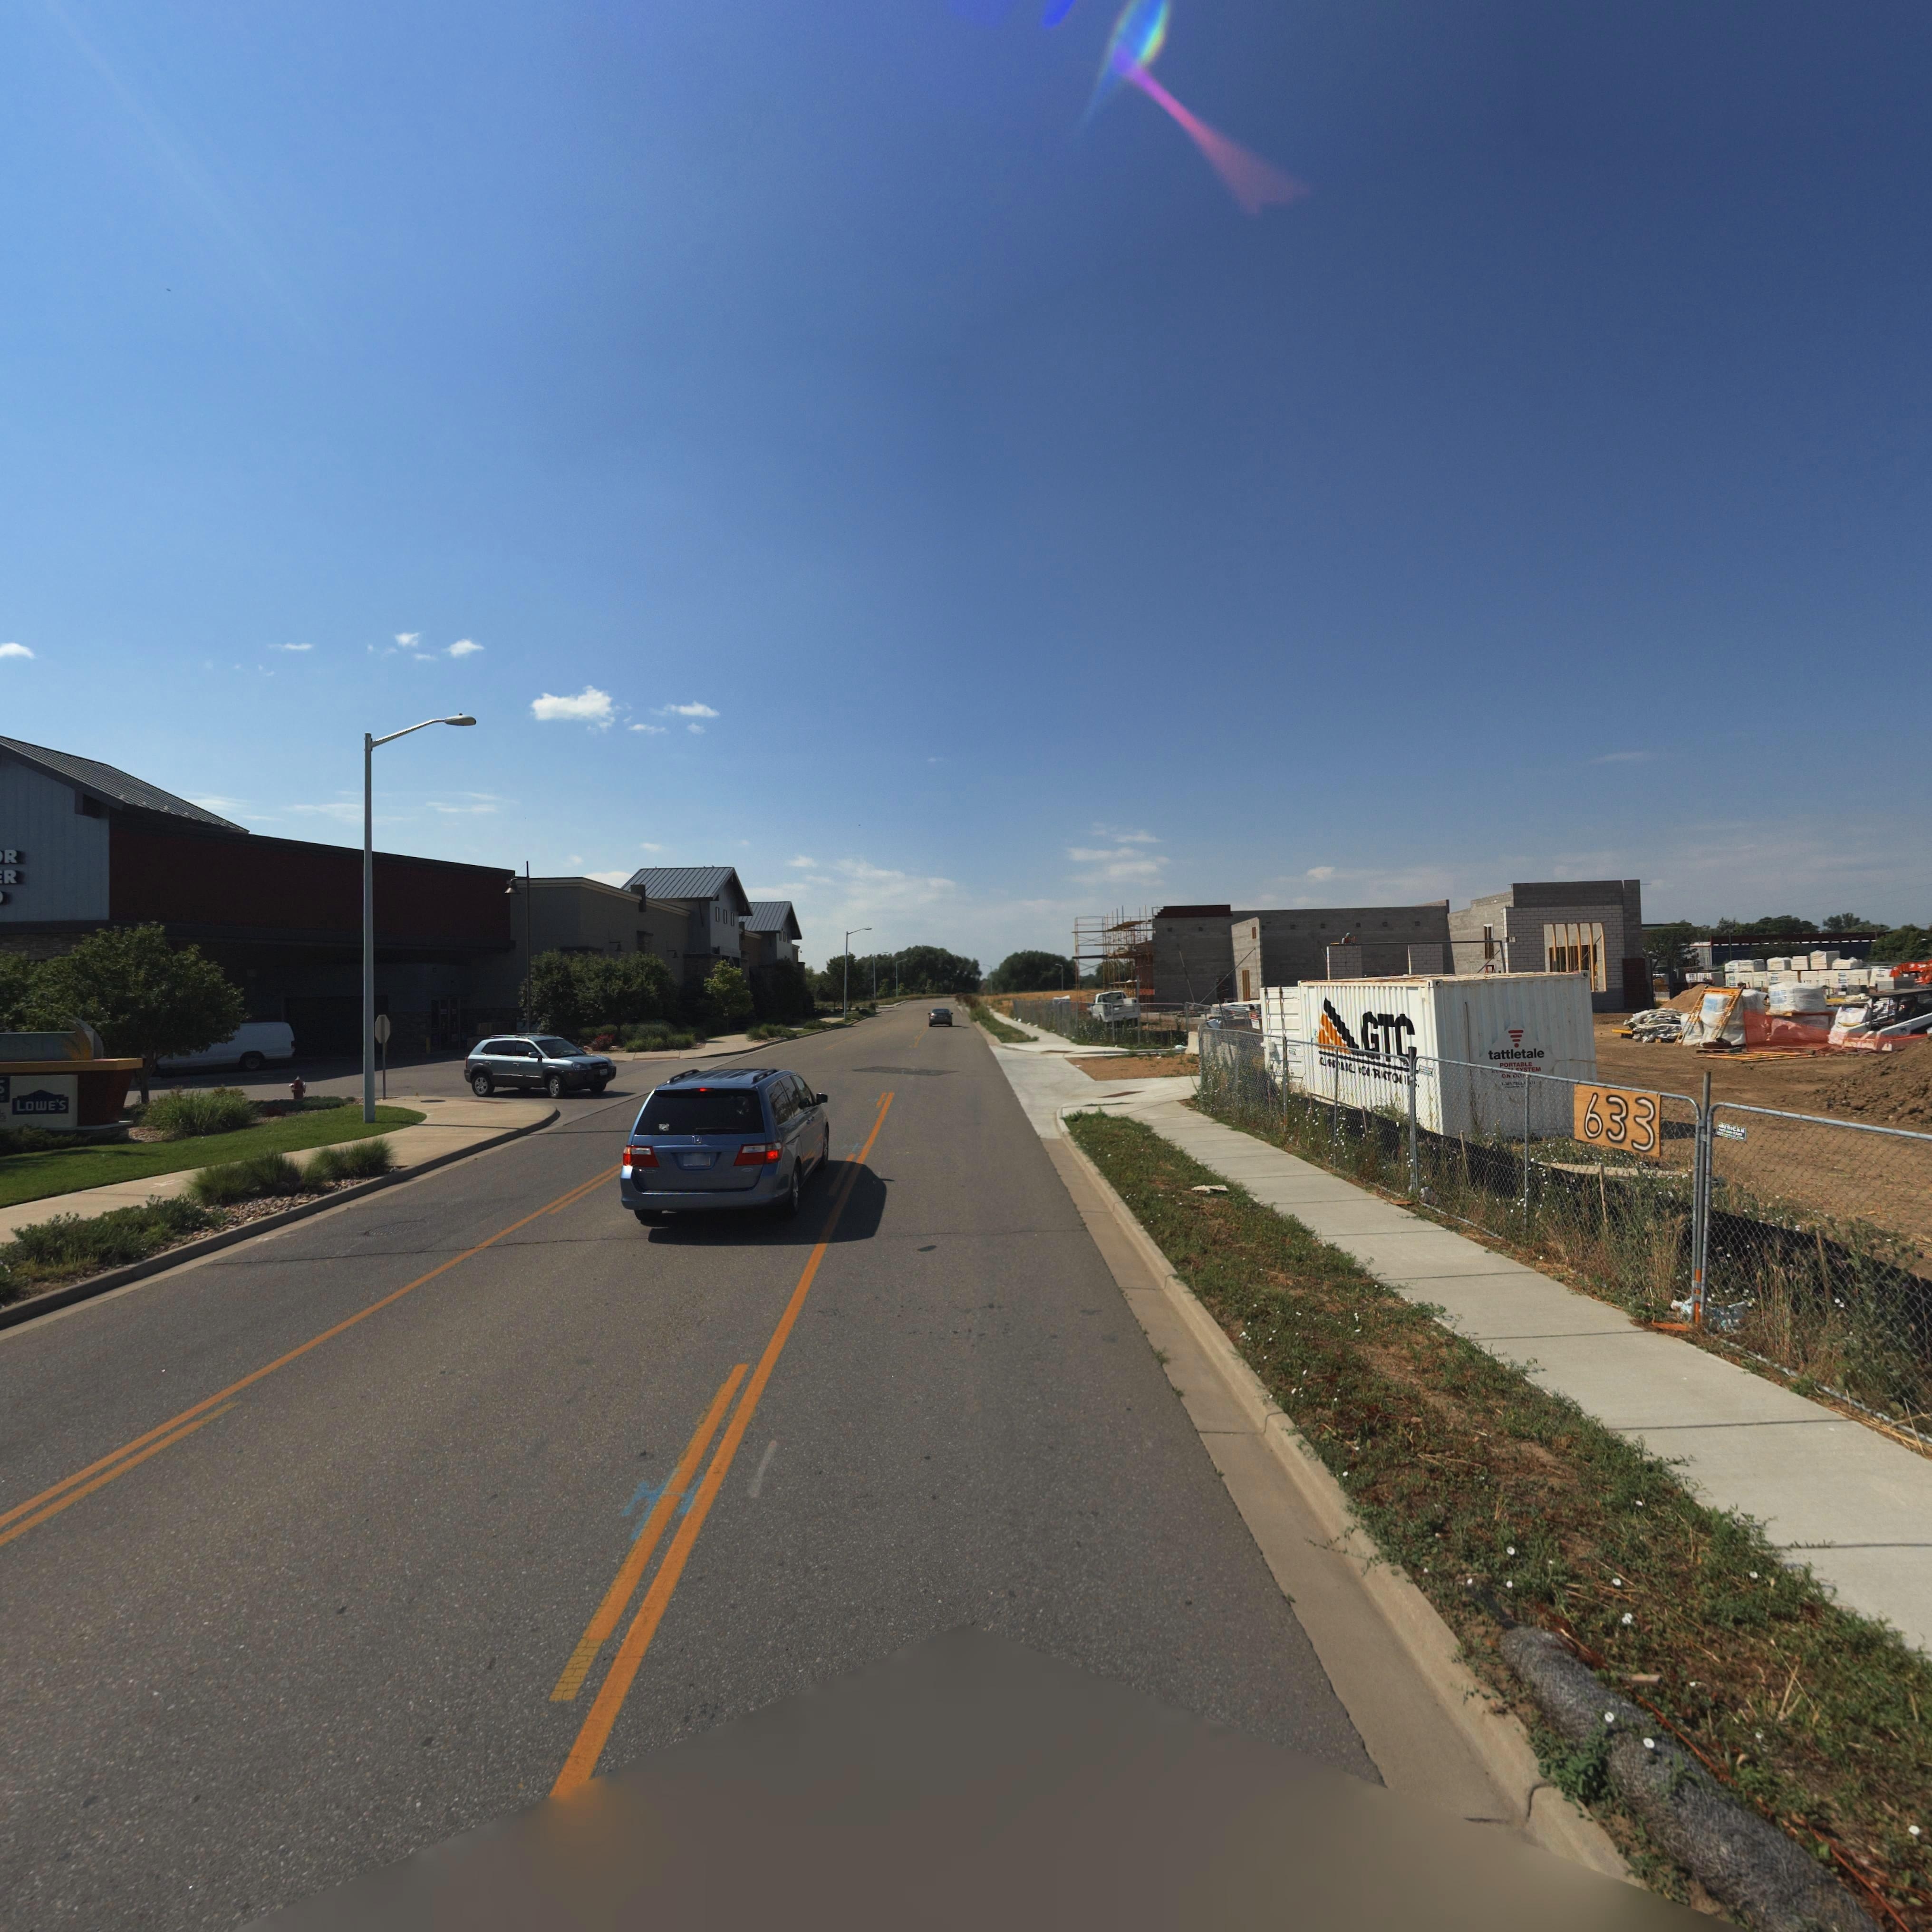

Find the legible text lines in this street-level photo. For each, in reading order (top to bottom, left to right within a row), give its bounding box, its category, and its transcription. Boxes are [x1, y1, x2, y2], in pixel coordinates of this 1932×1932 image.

[3, 849, 19, 864] BusinessName: R
[3, 869, 19, 885] BusinessName: R
[16, 1097, 68, 1112] BusinessName: LOWE'S